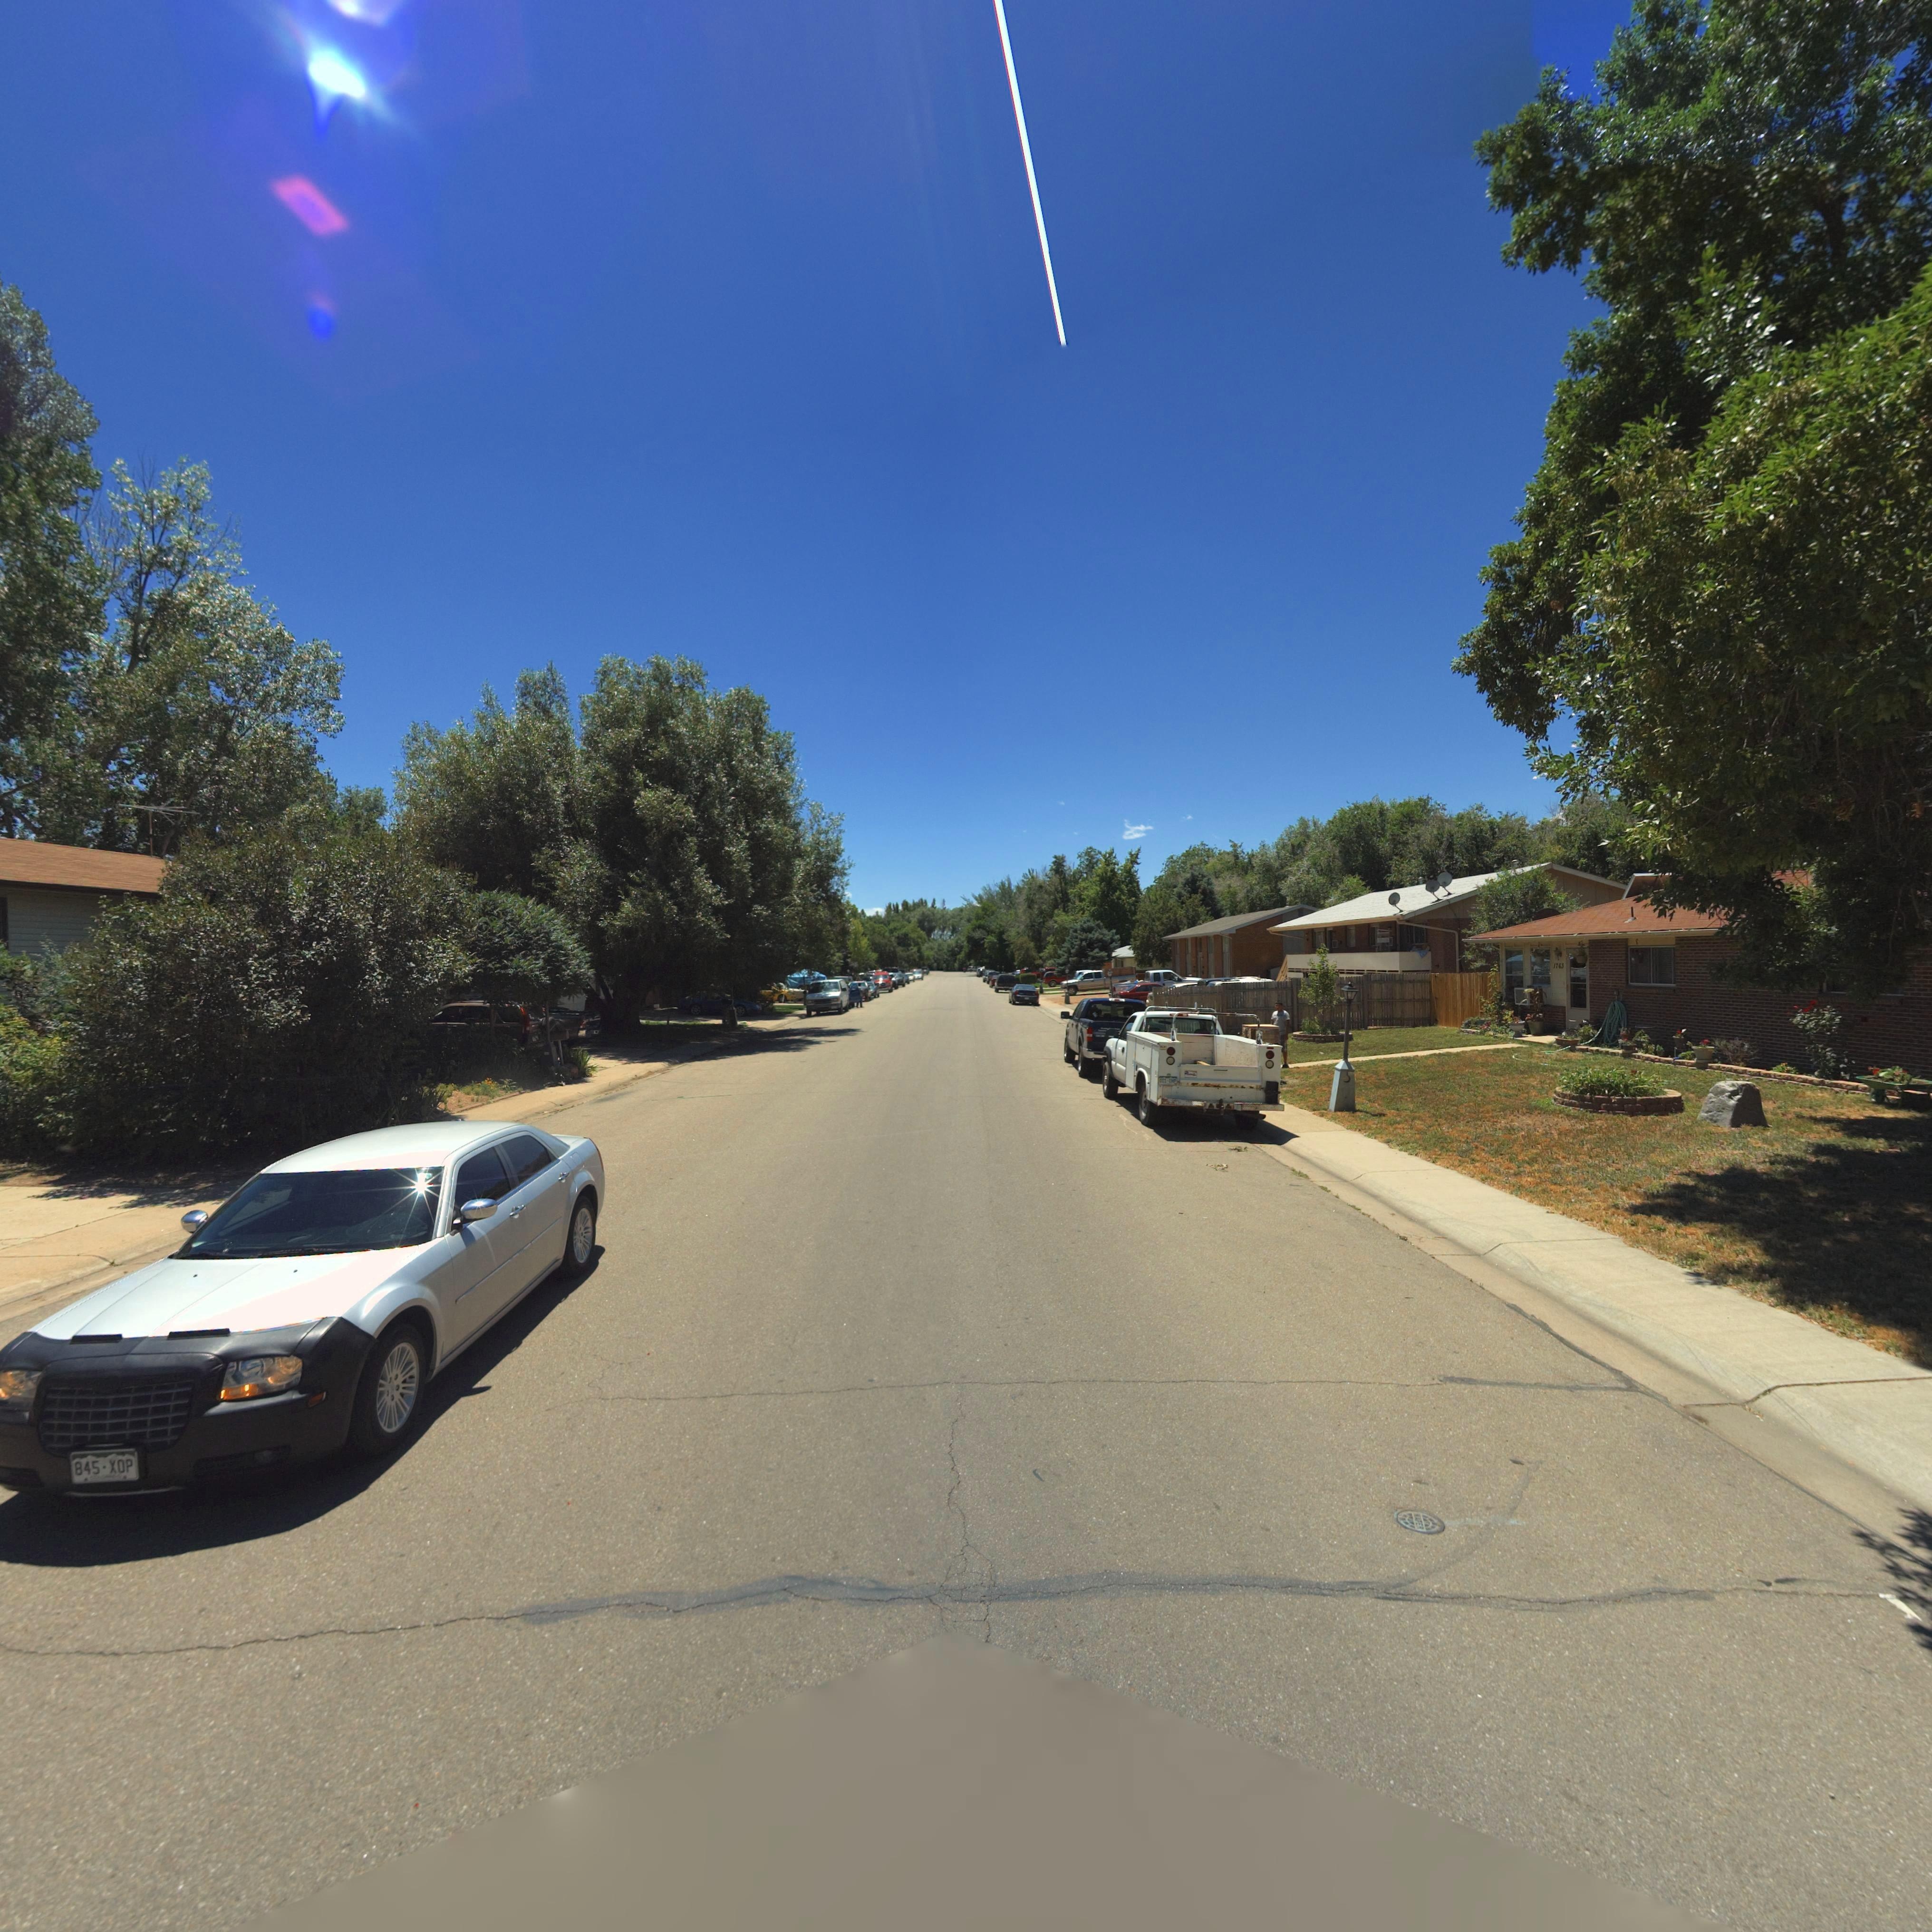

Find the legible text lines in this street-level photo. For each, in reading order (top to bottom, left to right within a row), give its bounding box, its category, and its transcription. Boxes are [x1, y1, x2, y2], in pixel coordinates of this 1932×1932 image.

[1553, 963, 1564, 968] StreetNumber: 1763